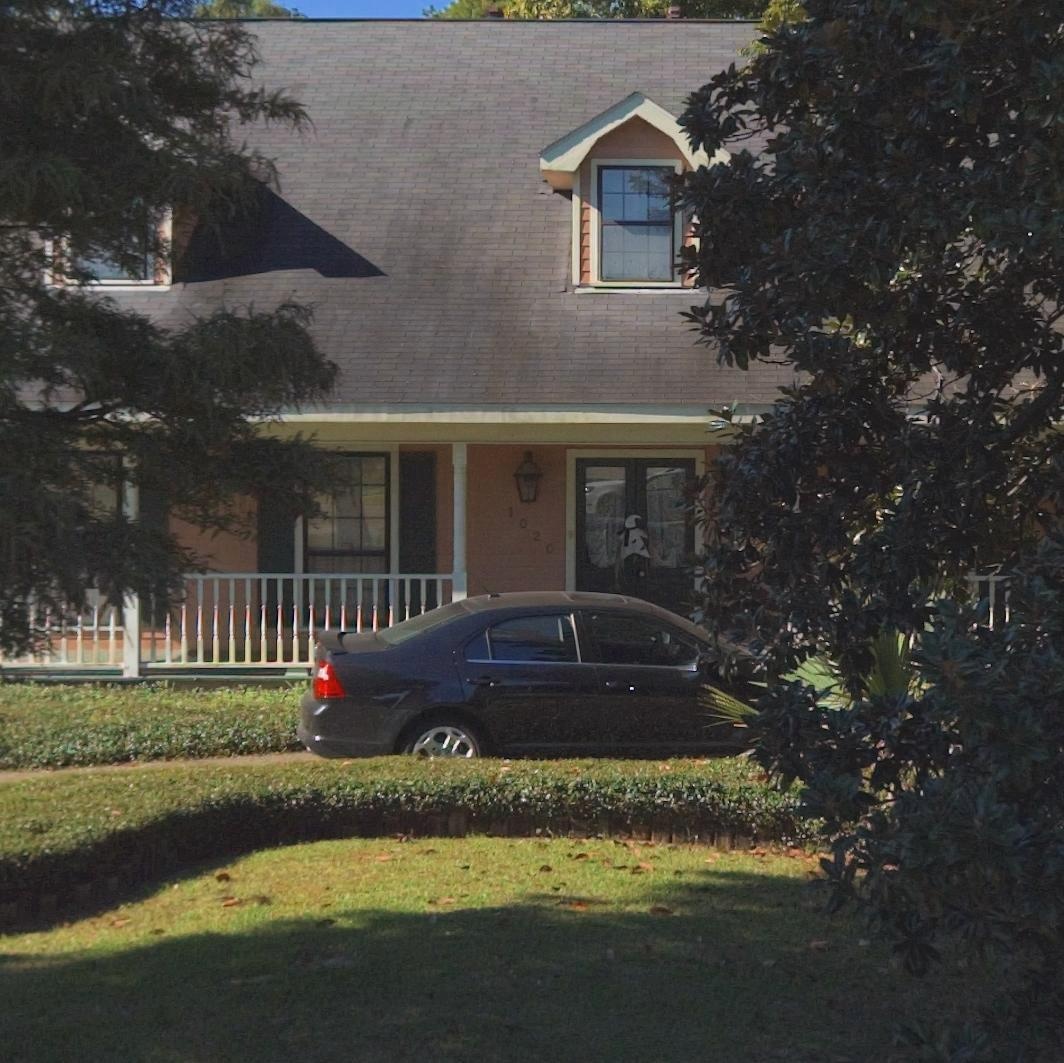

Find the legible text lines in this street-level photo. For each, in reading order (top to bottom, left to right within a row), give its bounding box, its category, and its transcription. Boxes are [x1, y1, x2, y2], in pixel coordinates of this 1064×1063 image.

[506, 504, 558, 557] StreetNumber: 1020